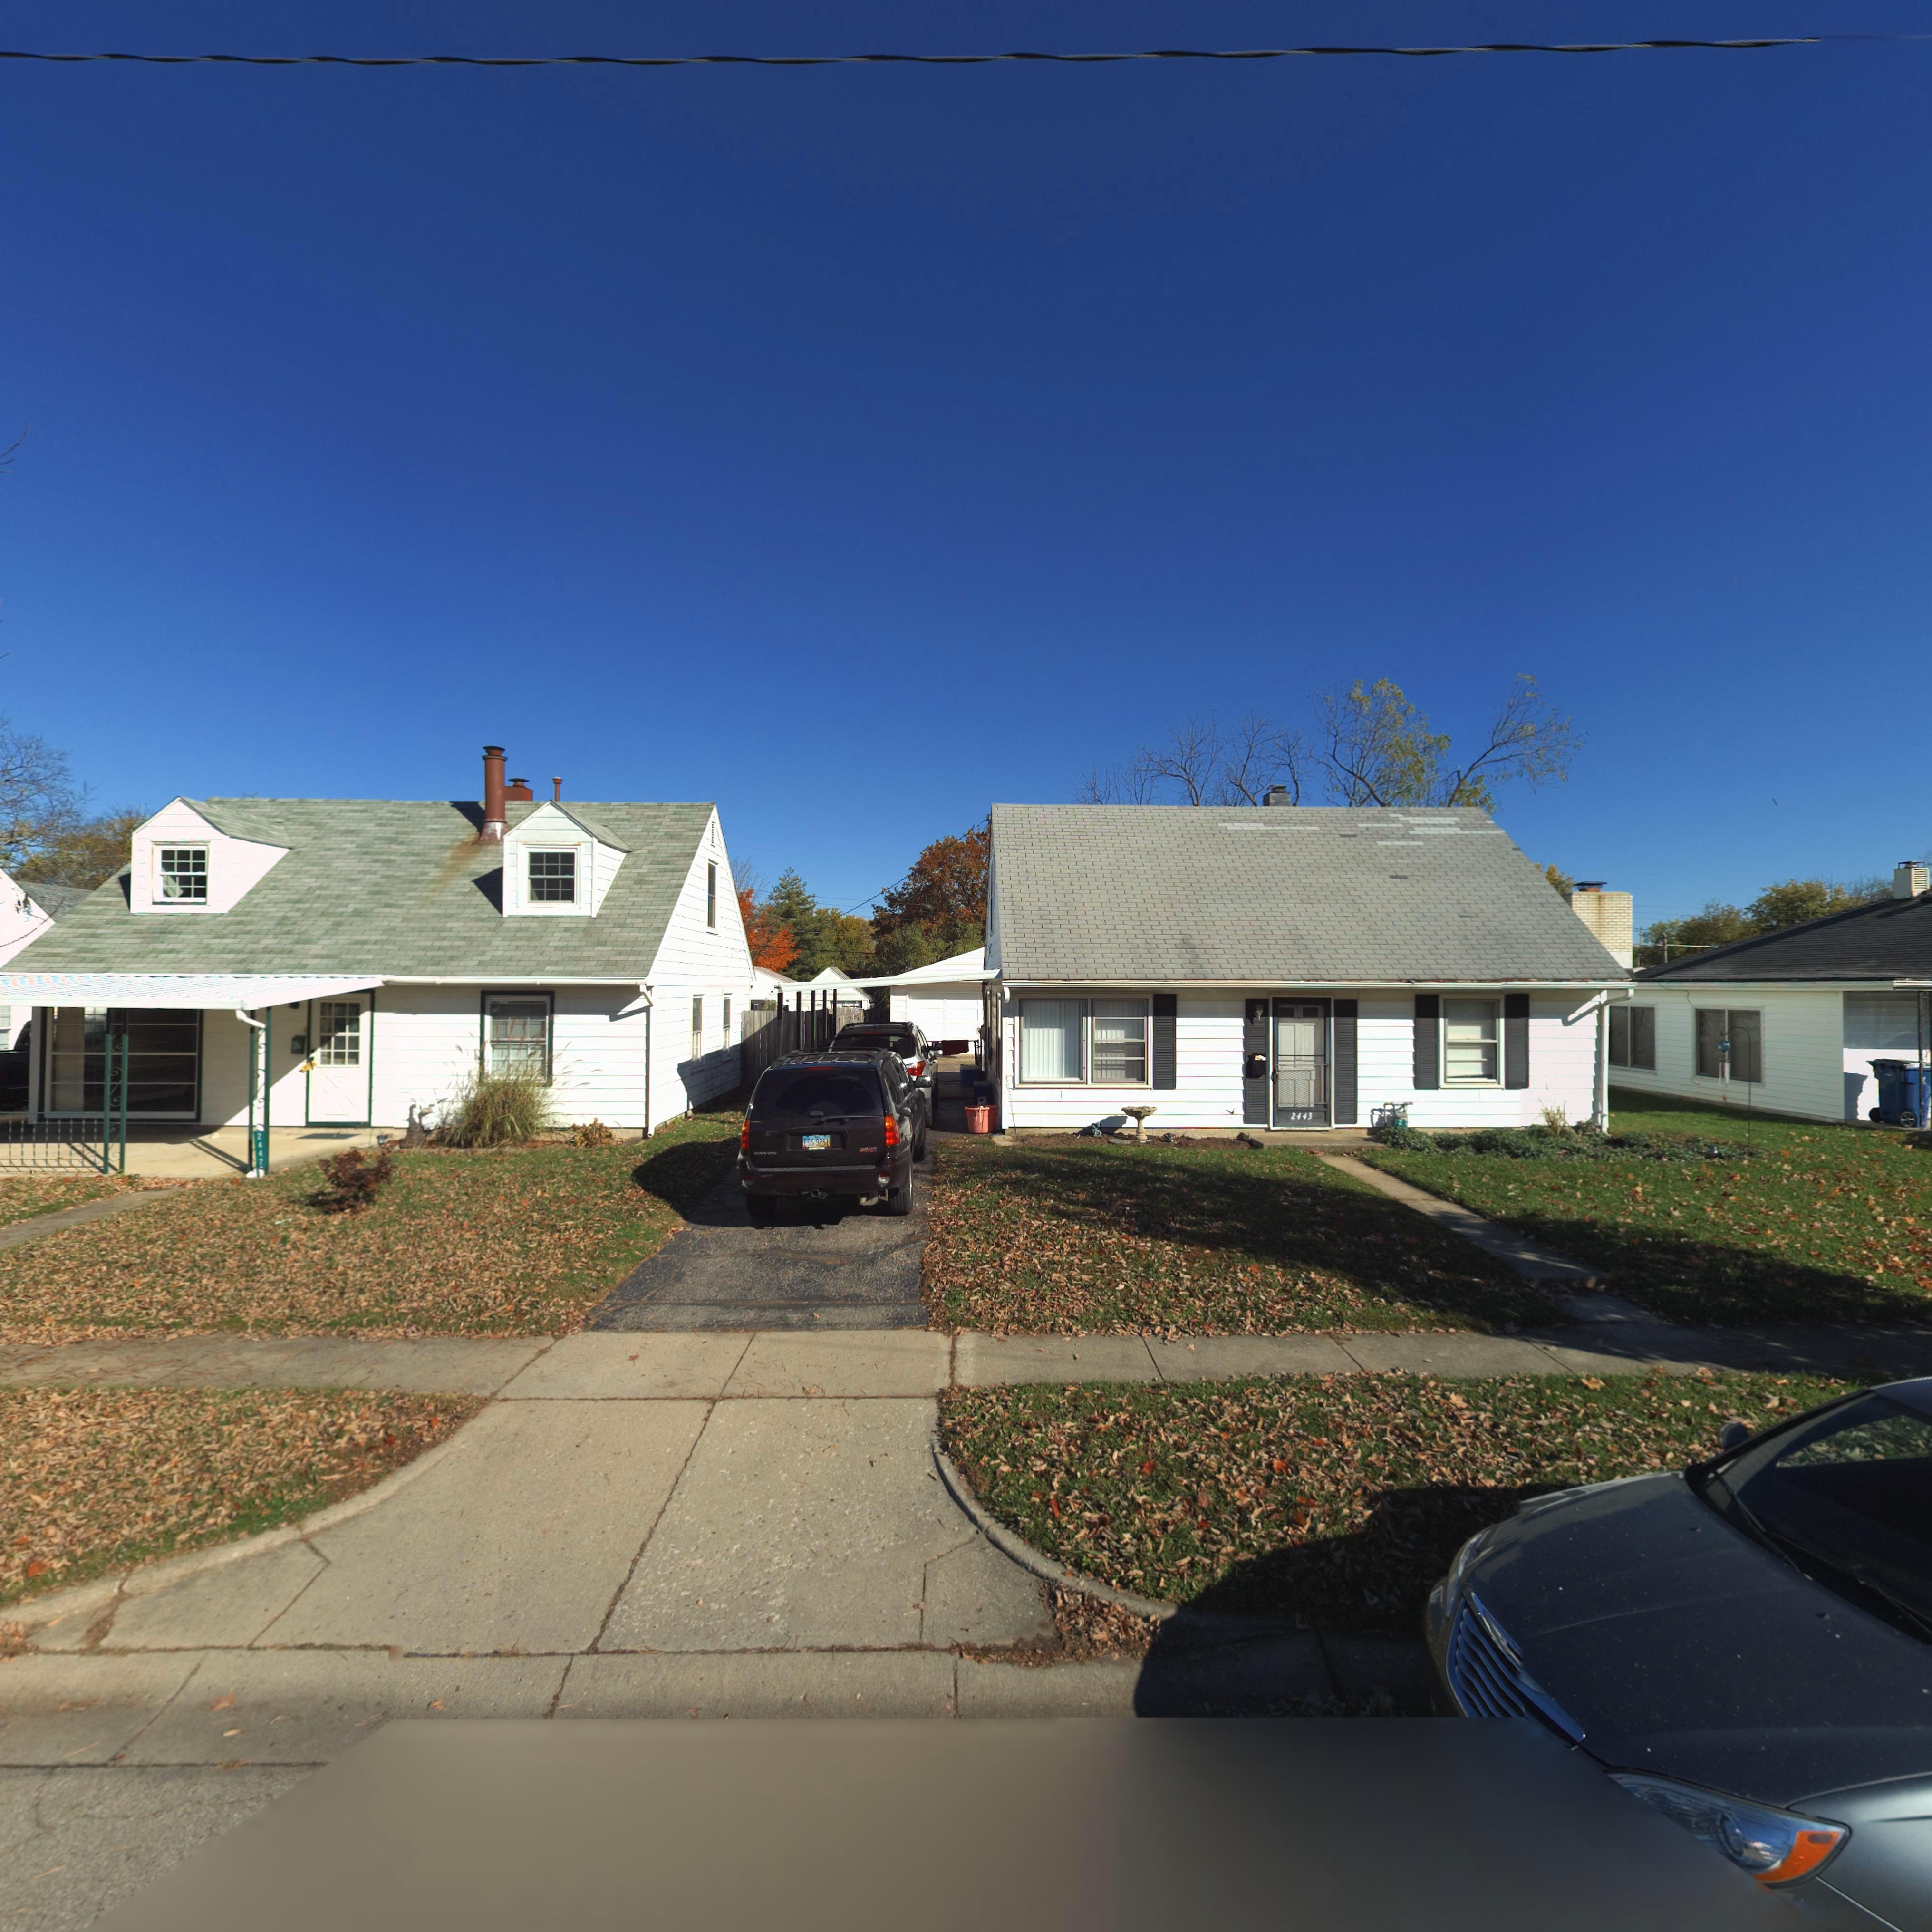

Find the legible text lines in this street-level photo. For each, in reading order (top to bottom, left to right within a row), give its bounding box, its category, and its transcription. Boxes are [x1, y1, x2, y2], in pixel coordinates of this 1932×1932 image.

[1289, 1111, 1314, 1121] StreetNumber: 2443
[1398, 1118, 1403, 1126] StreetNumber: 2
[256, 1132, 265, 1167] StreetNumber: 2447